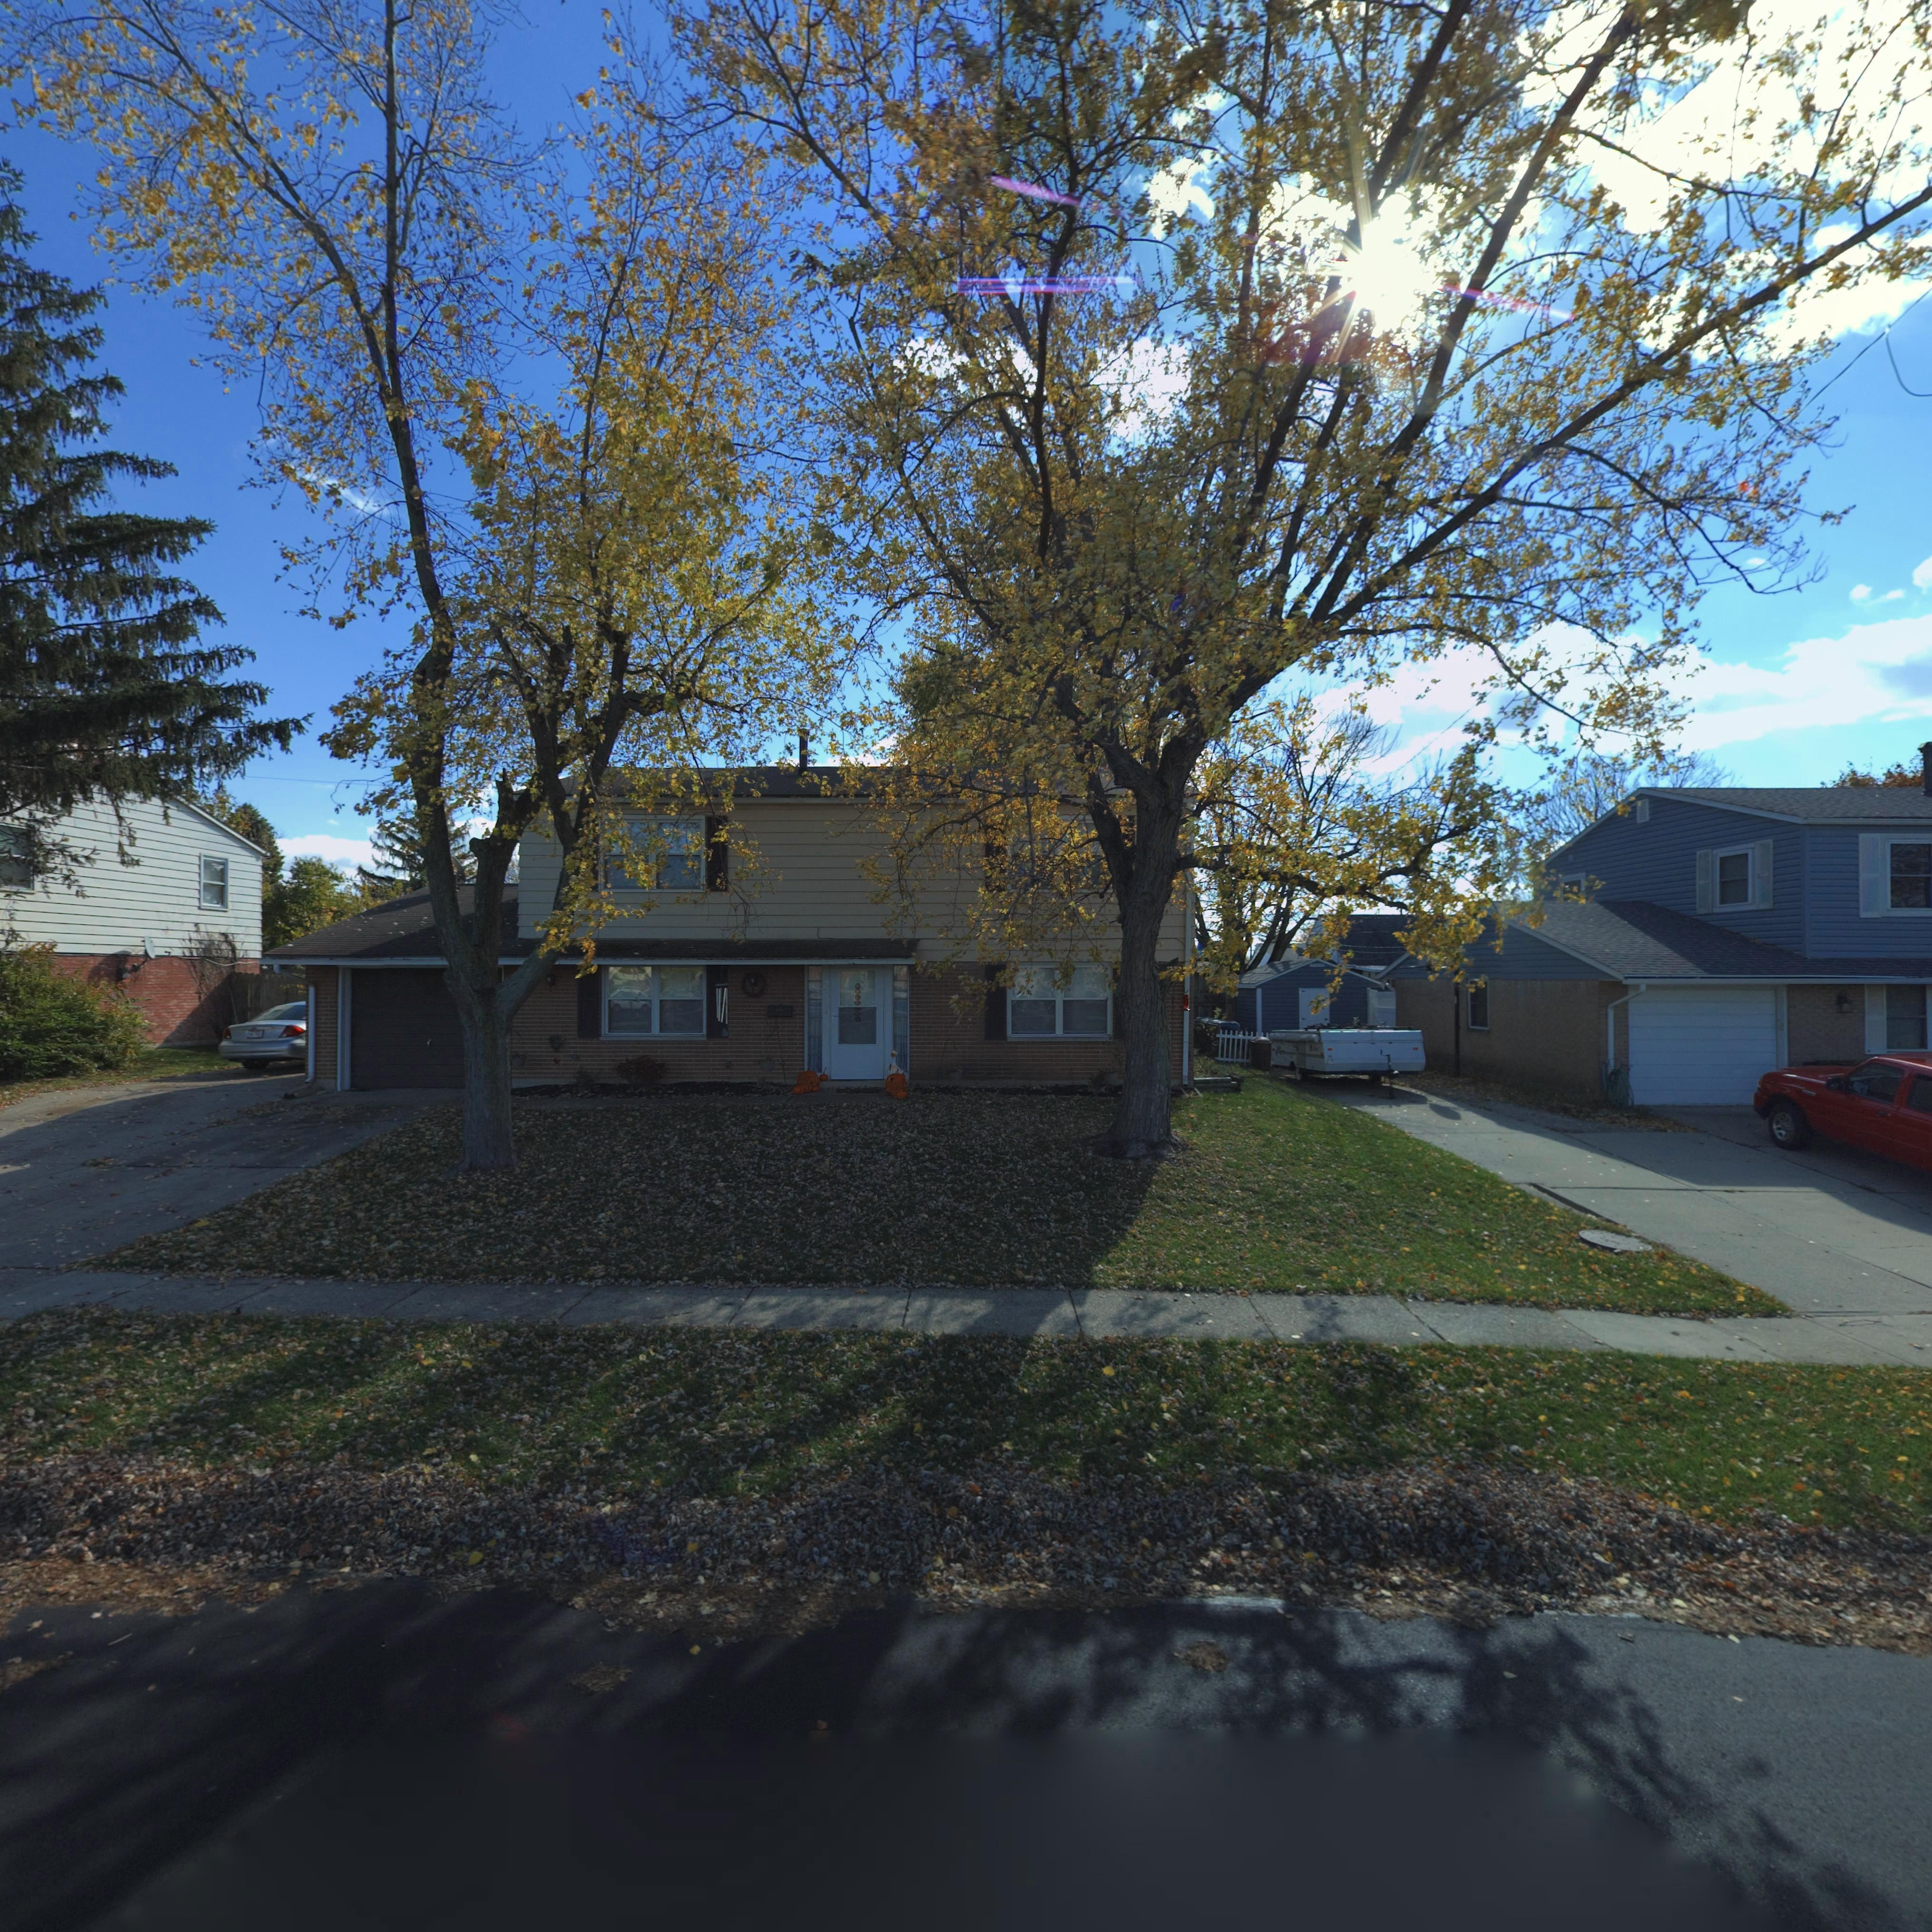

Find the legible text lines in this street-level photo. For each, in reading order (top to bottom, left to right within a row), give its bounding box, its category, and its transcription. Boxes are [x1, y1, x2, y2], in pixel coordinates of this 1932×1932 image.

[823, 981, 830, 1009] StreetNumber: 7**0